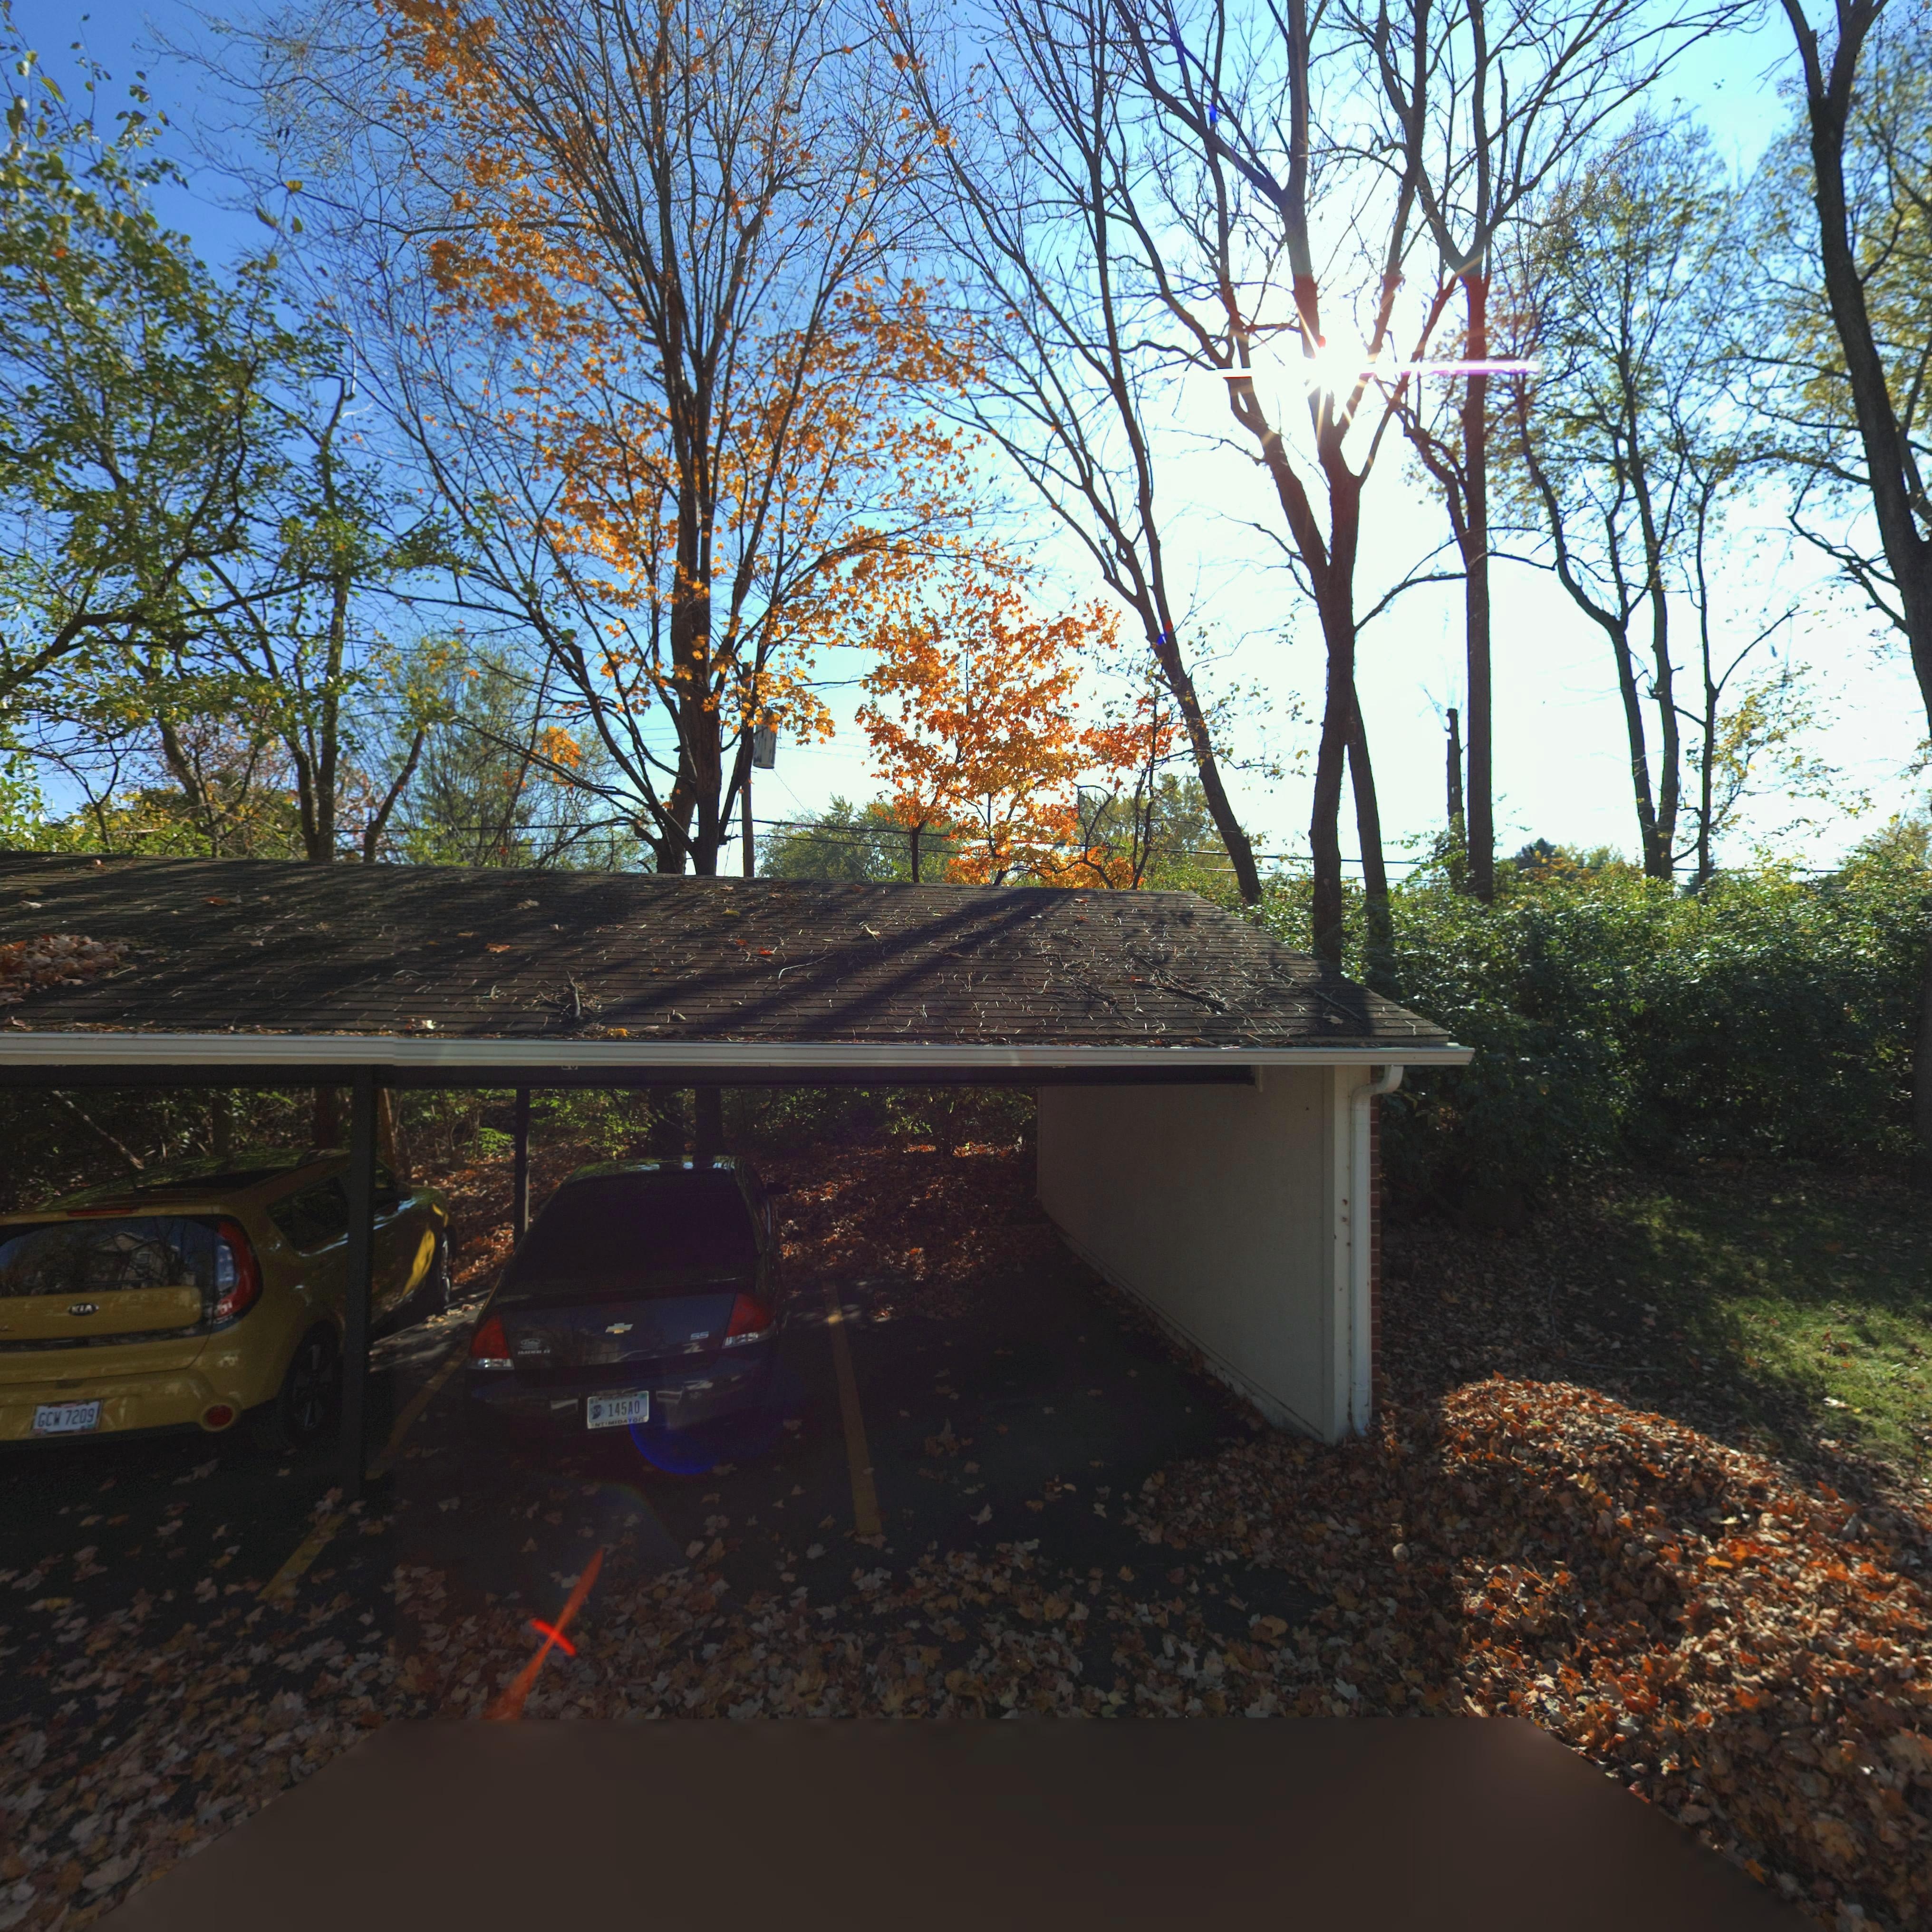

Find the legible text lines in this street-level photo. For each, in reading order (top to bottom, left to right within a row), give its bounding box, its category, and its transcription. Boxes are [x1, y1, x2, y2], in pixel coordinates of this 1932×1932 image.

[71, 1303, 95, 1315] None: KIA
[37, 1406, 96, 1429] None: GC* 7209
[607, 1416, 639, 1426] None: MIDA**
[607, 1399, 641, 1418] None: 145AO